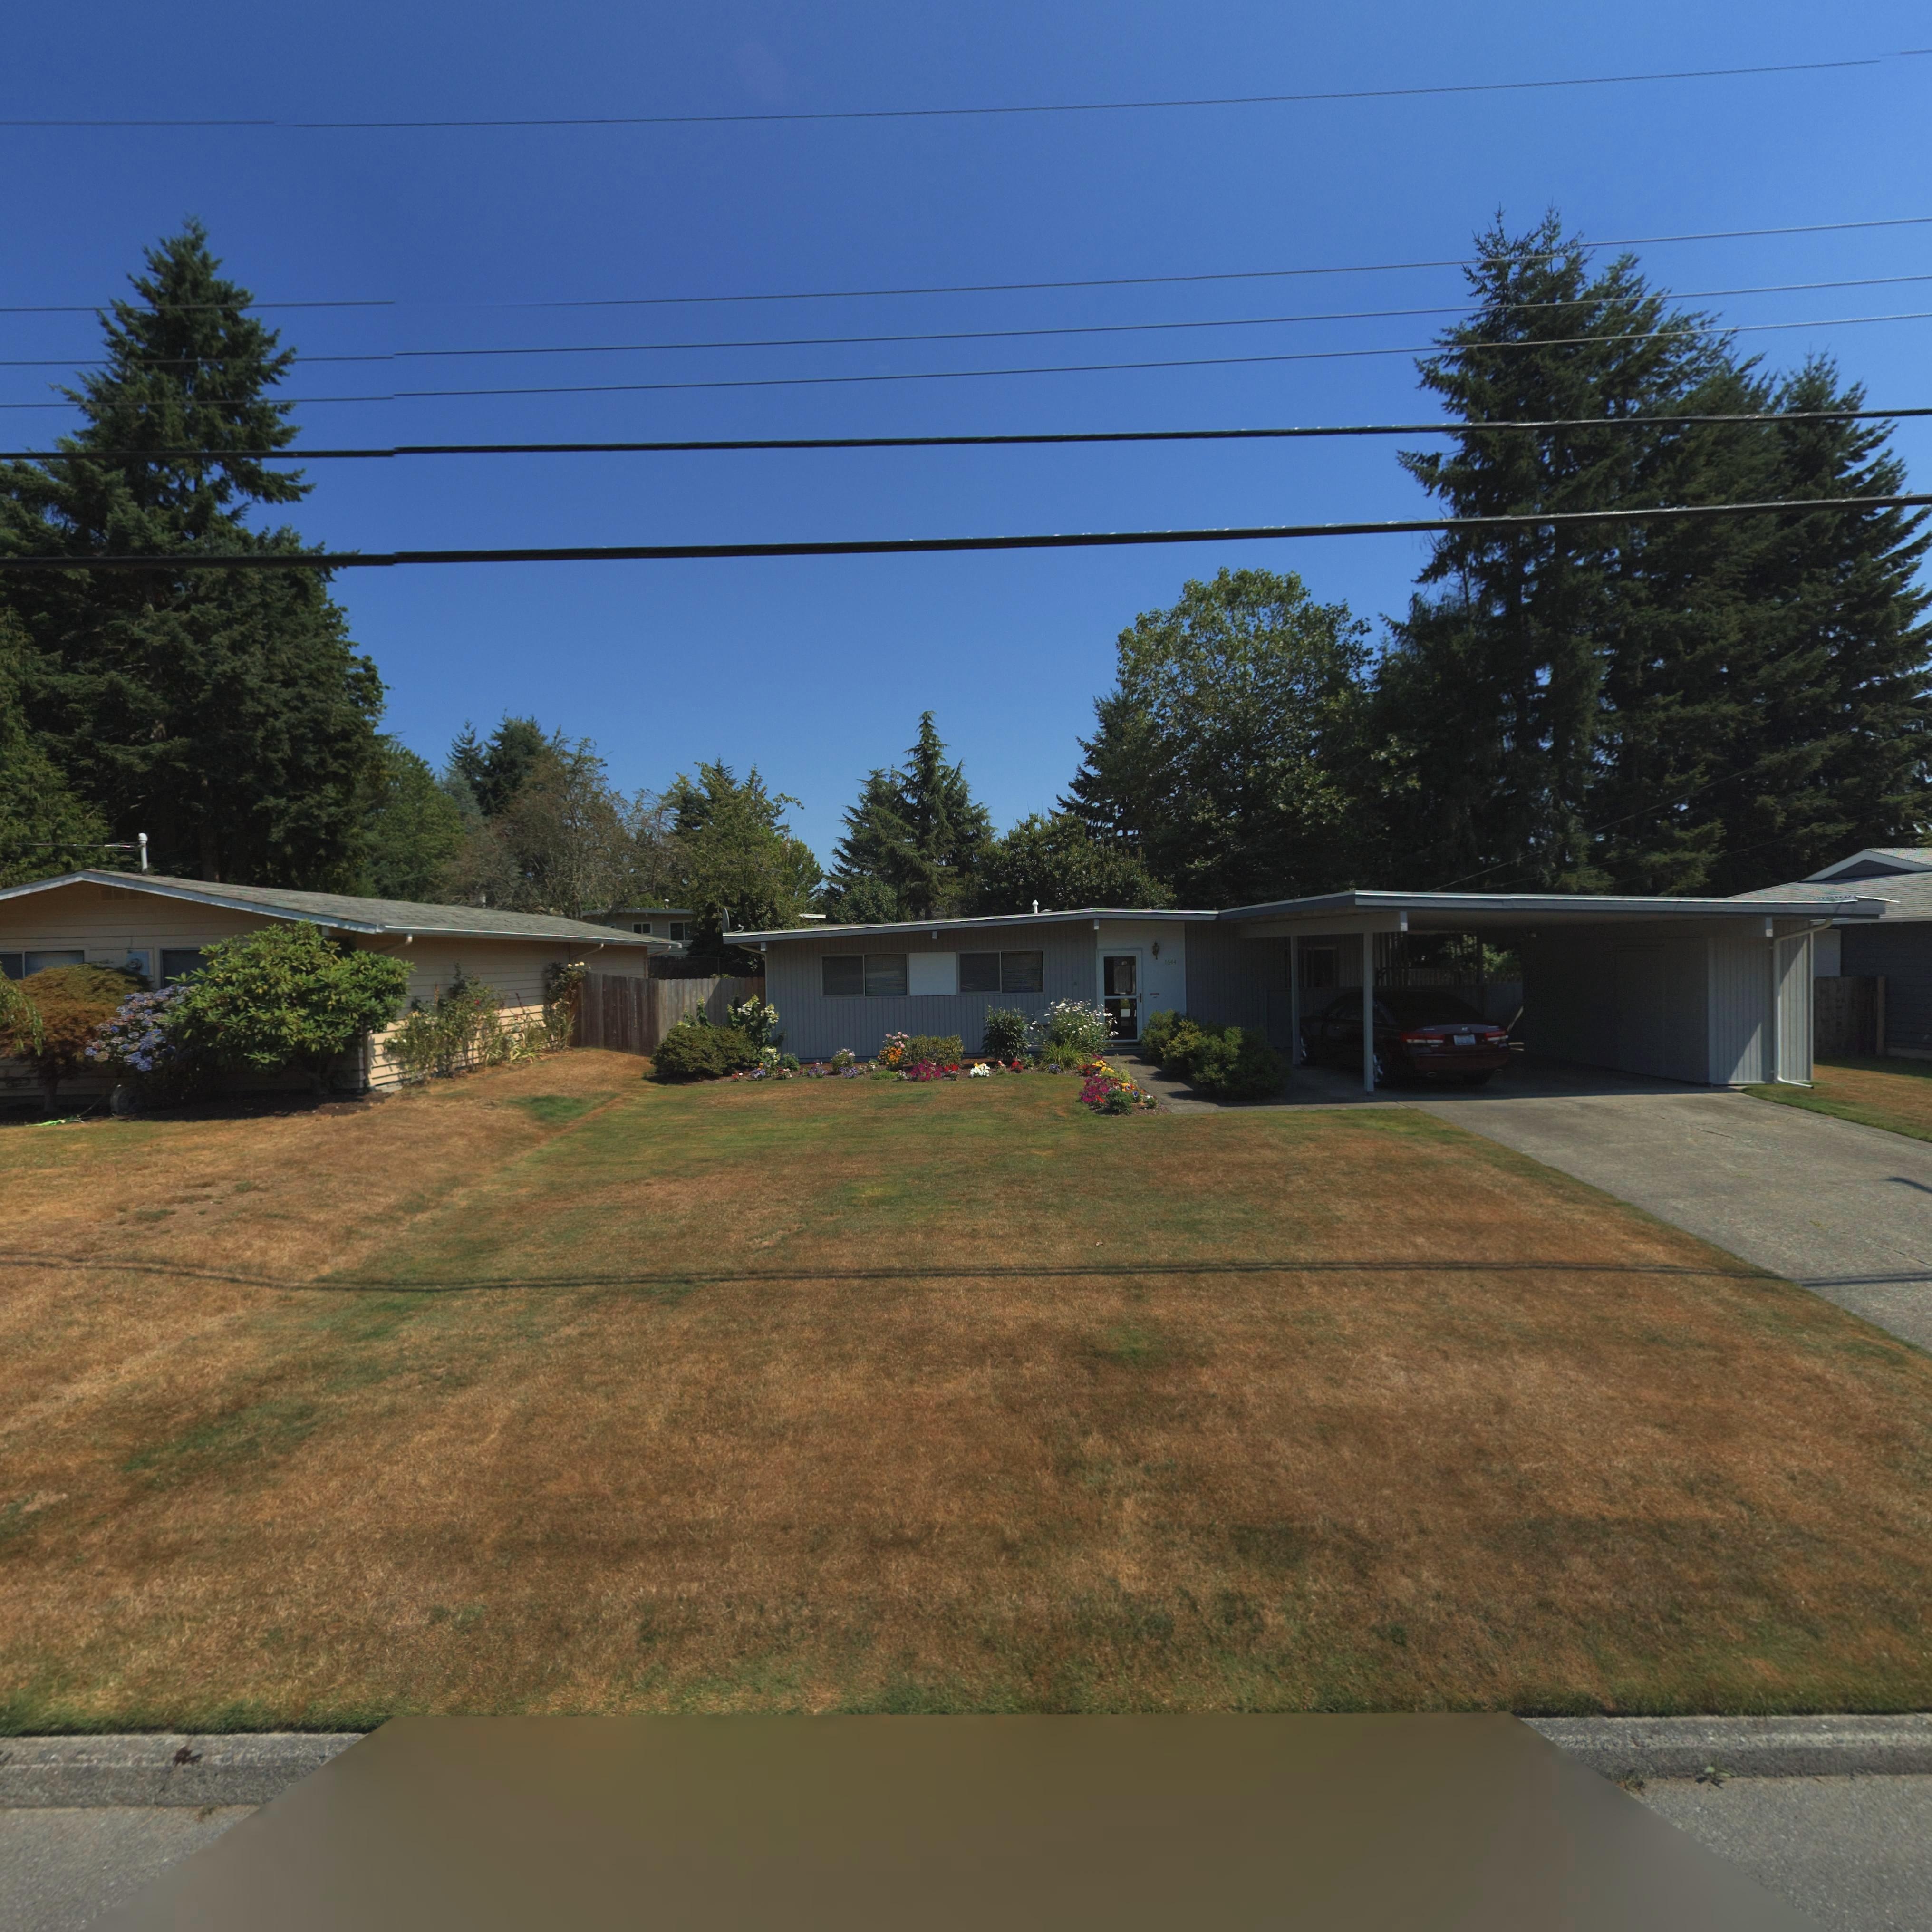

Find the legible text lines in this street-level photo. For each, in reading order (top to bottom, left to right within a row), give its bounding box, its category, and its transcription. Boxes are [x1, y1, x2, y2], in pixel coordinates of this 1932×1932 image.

[1164, 959, 1177, 966] StreetNumber: 1644